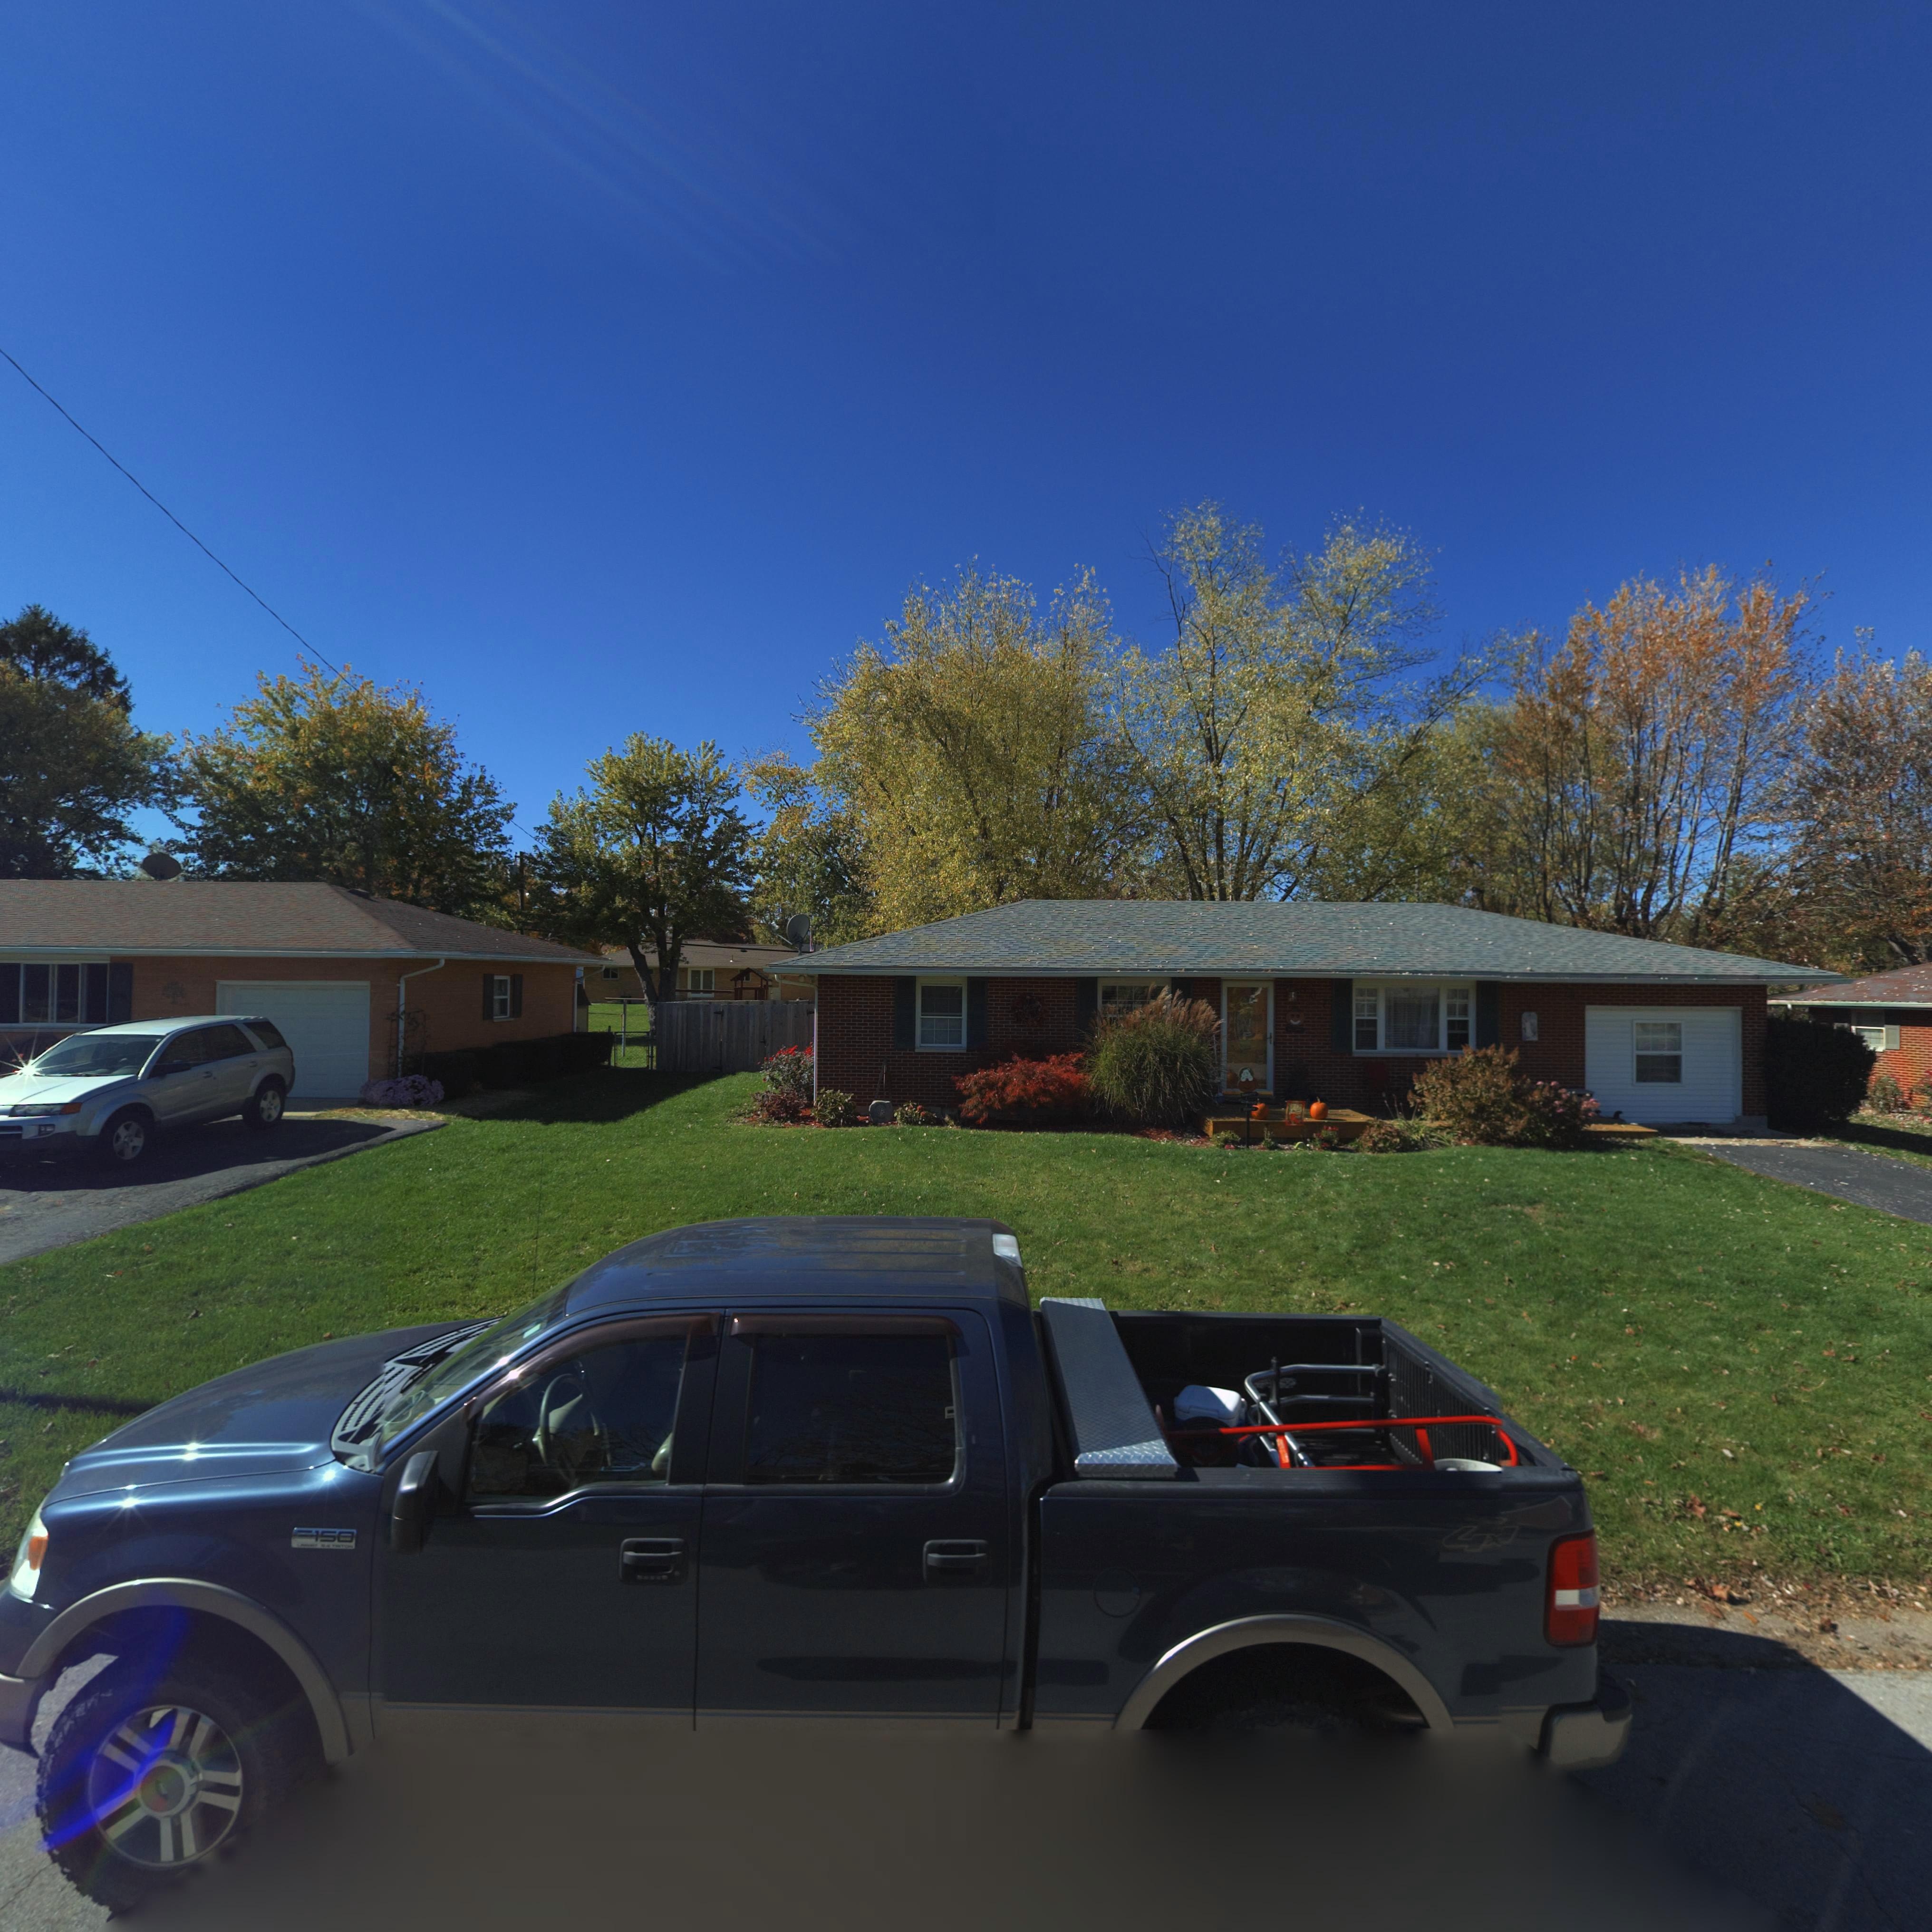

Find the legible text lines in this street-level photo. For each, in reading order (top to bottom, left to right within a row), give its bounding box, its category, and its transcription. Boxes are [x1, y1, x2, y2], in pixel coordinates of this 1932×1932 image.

[1299, 984, 1328, 1010] StreetNumber: 80*